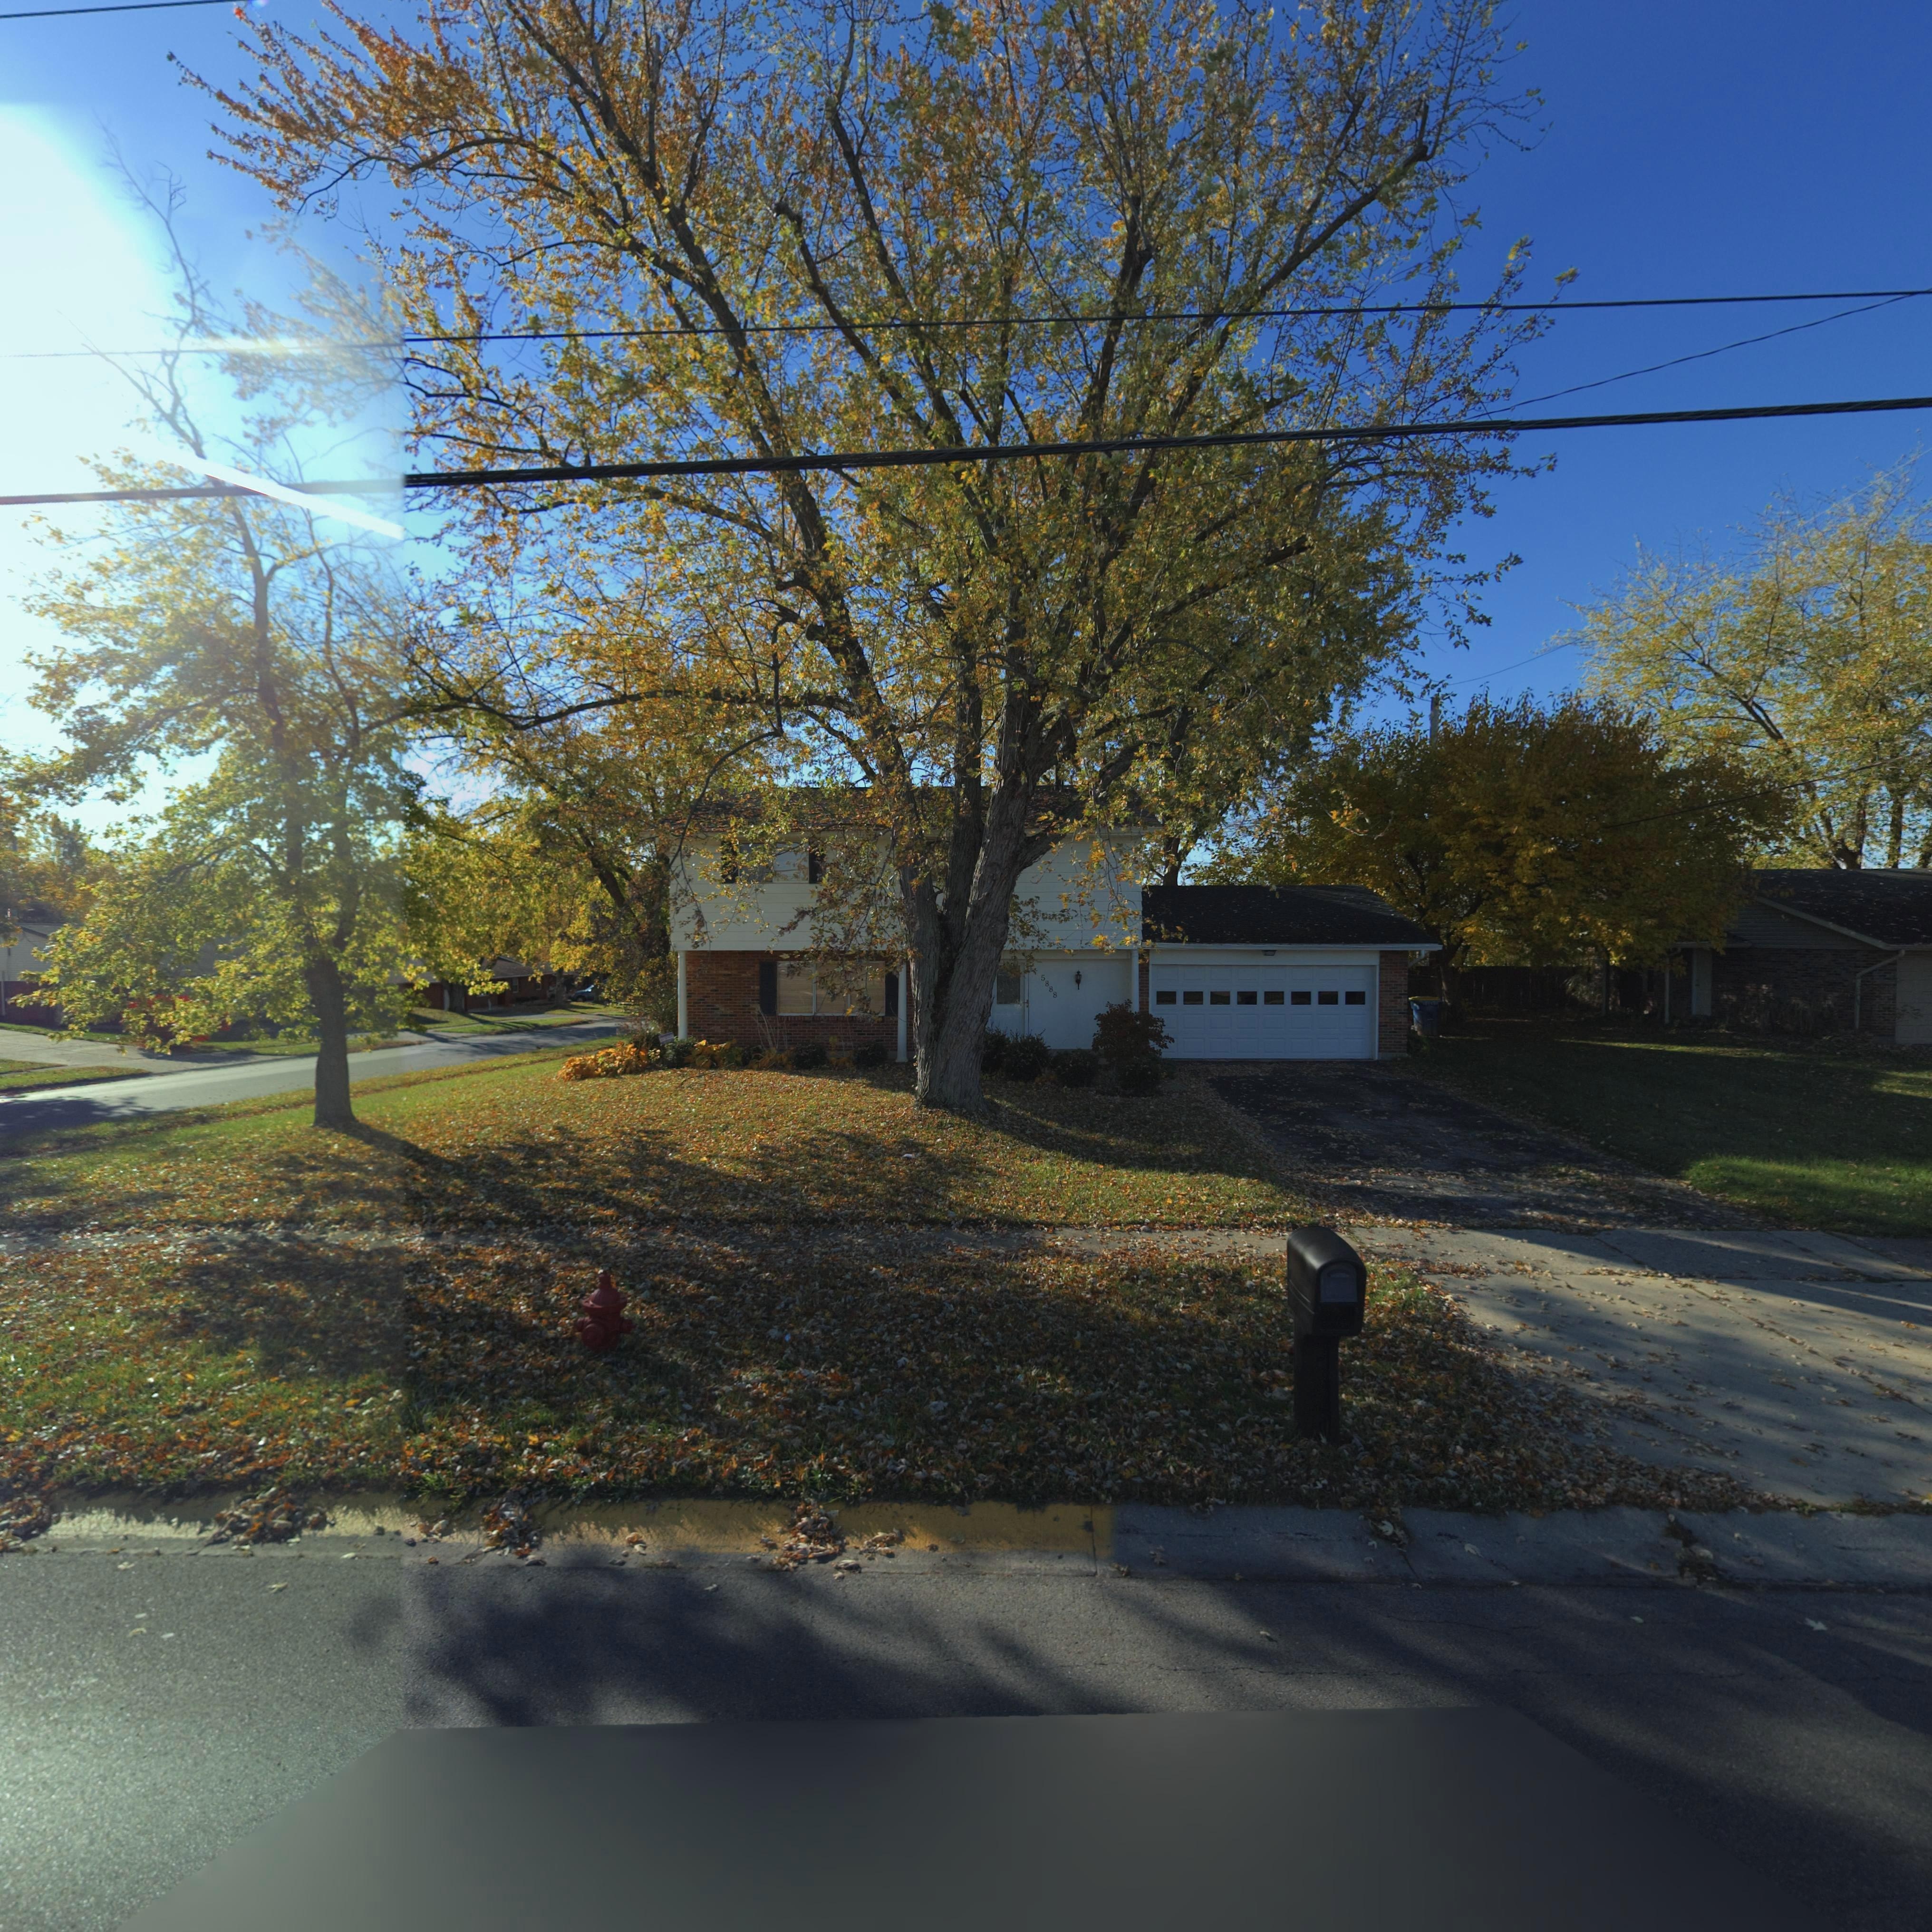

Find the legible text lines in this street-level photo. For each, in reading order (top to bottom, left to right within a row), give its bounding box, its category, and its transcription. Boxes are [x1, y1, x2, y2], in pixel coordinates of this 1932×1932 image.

[1041, 974, 1057, 998] StreetNumber: 5888